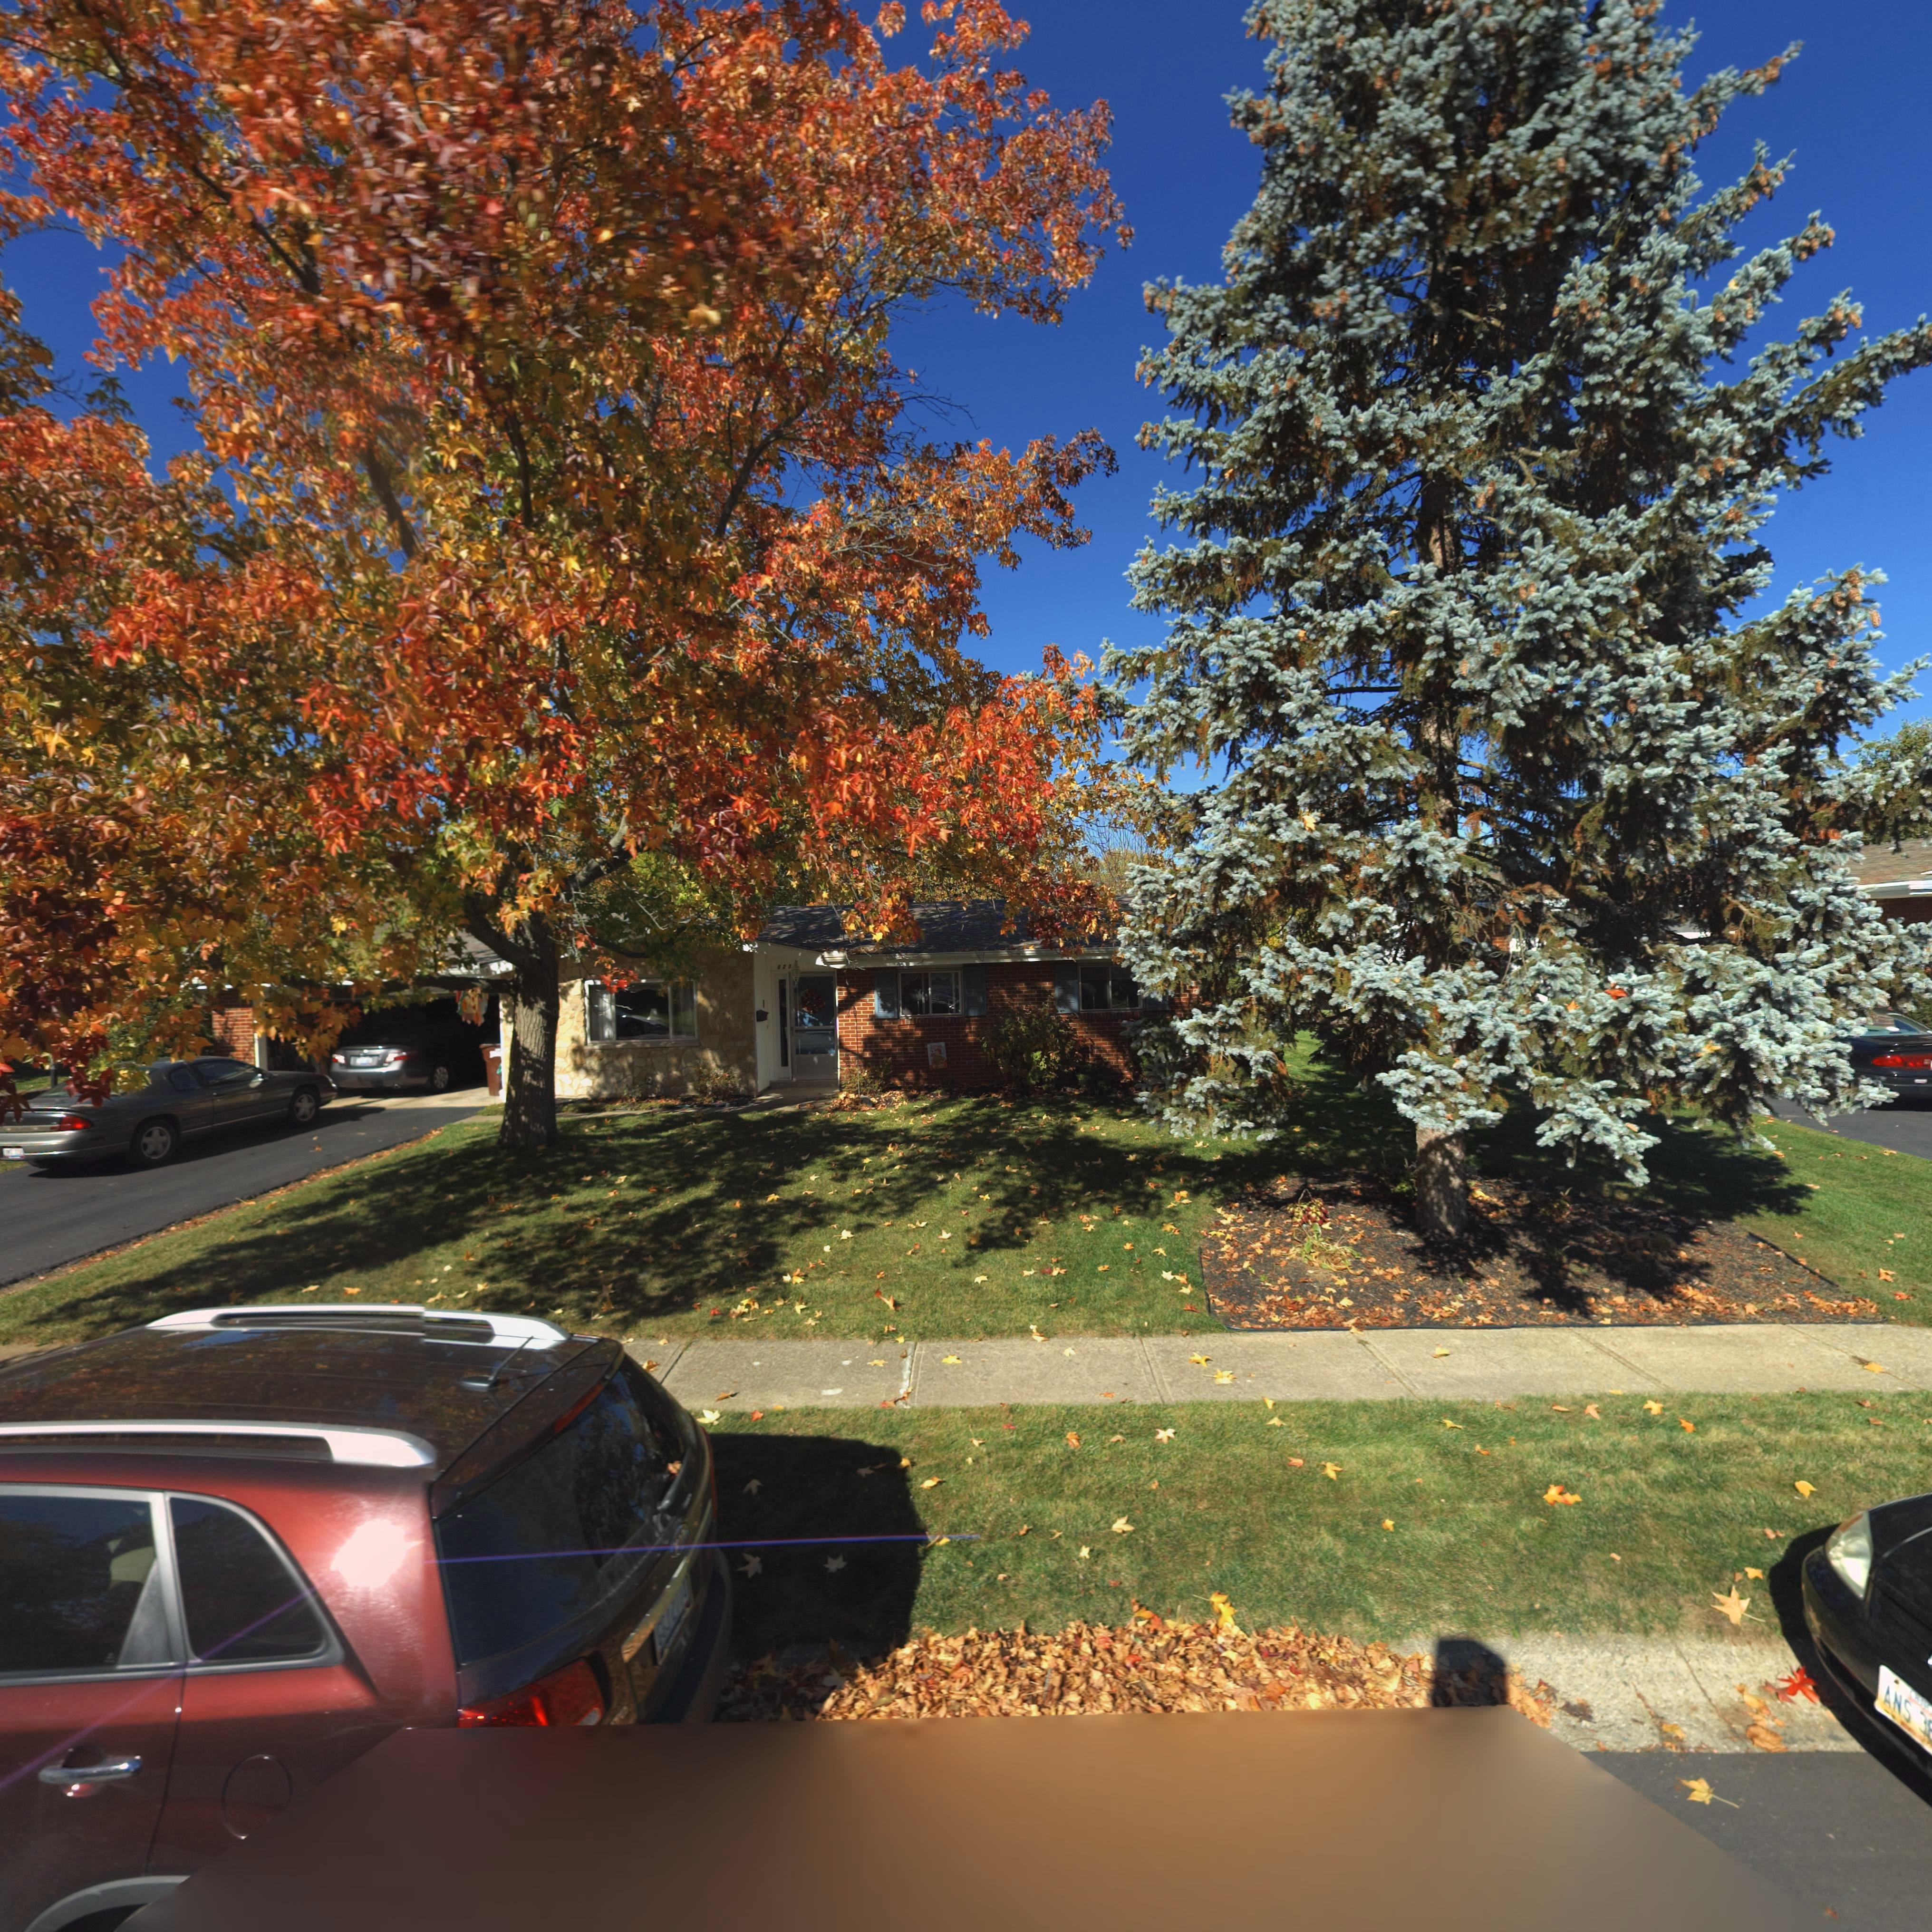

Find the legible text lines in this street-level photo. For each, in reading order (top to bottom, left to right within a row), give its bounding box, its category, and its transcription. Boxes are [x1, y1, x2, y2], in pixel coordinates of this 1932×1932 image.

[776, 963, 793, 971] StreetNumber: 5**
[1882, 1683, 1914, 1726] None: ANS